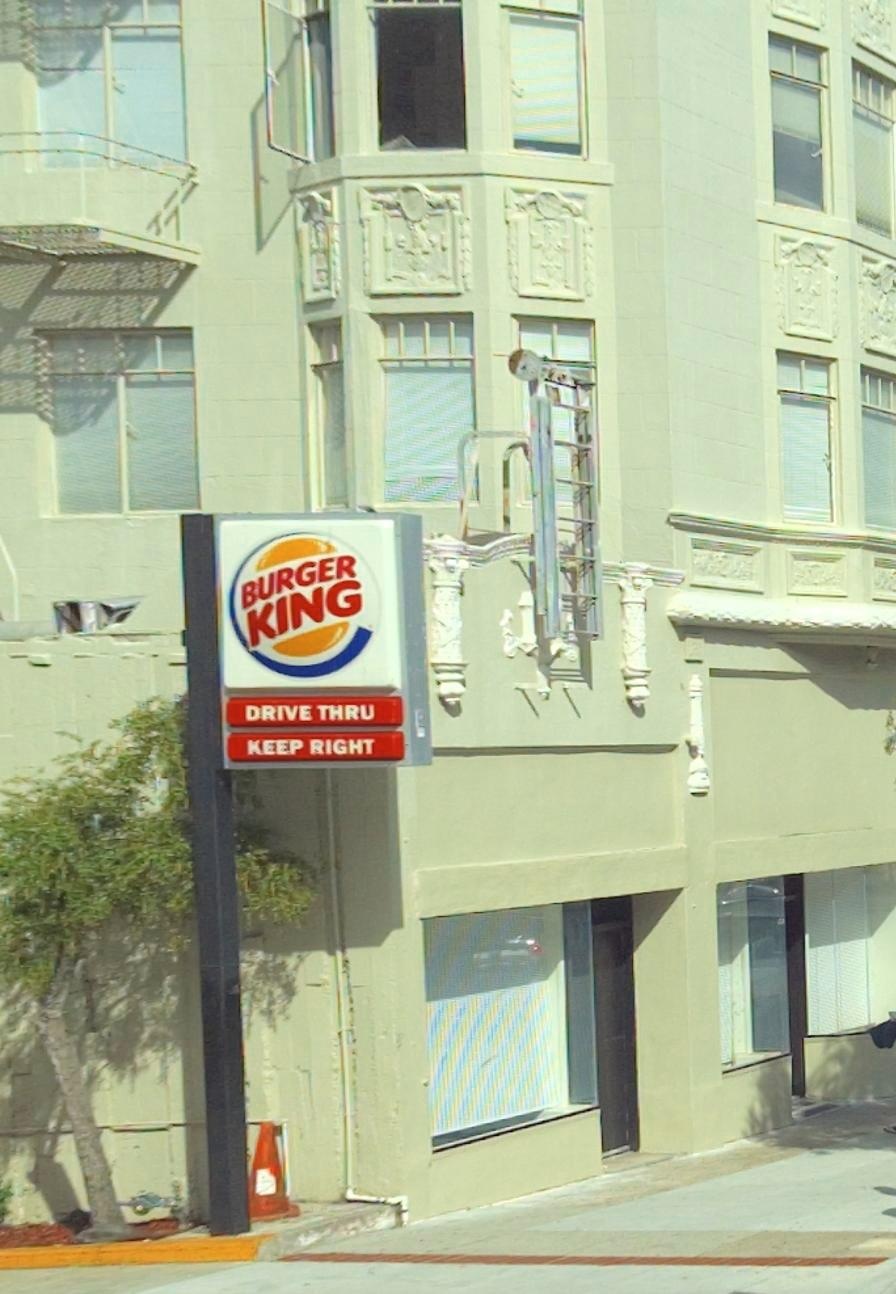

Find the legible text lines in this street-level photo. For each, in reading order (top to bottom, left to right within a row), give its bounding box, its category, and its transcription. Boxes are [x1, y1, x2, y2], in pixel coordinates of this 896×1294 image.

[239, 551, 360, 613] BusinessName: BURGER
[243, 577, 365, 651] BusinessName: KING
[243, 702, 377, 724] None: DRIVE THRU
[245, 736, 378, 758] None: KEEP RIGHT